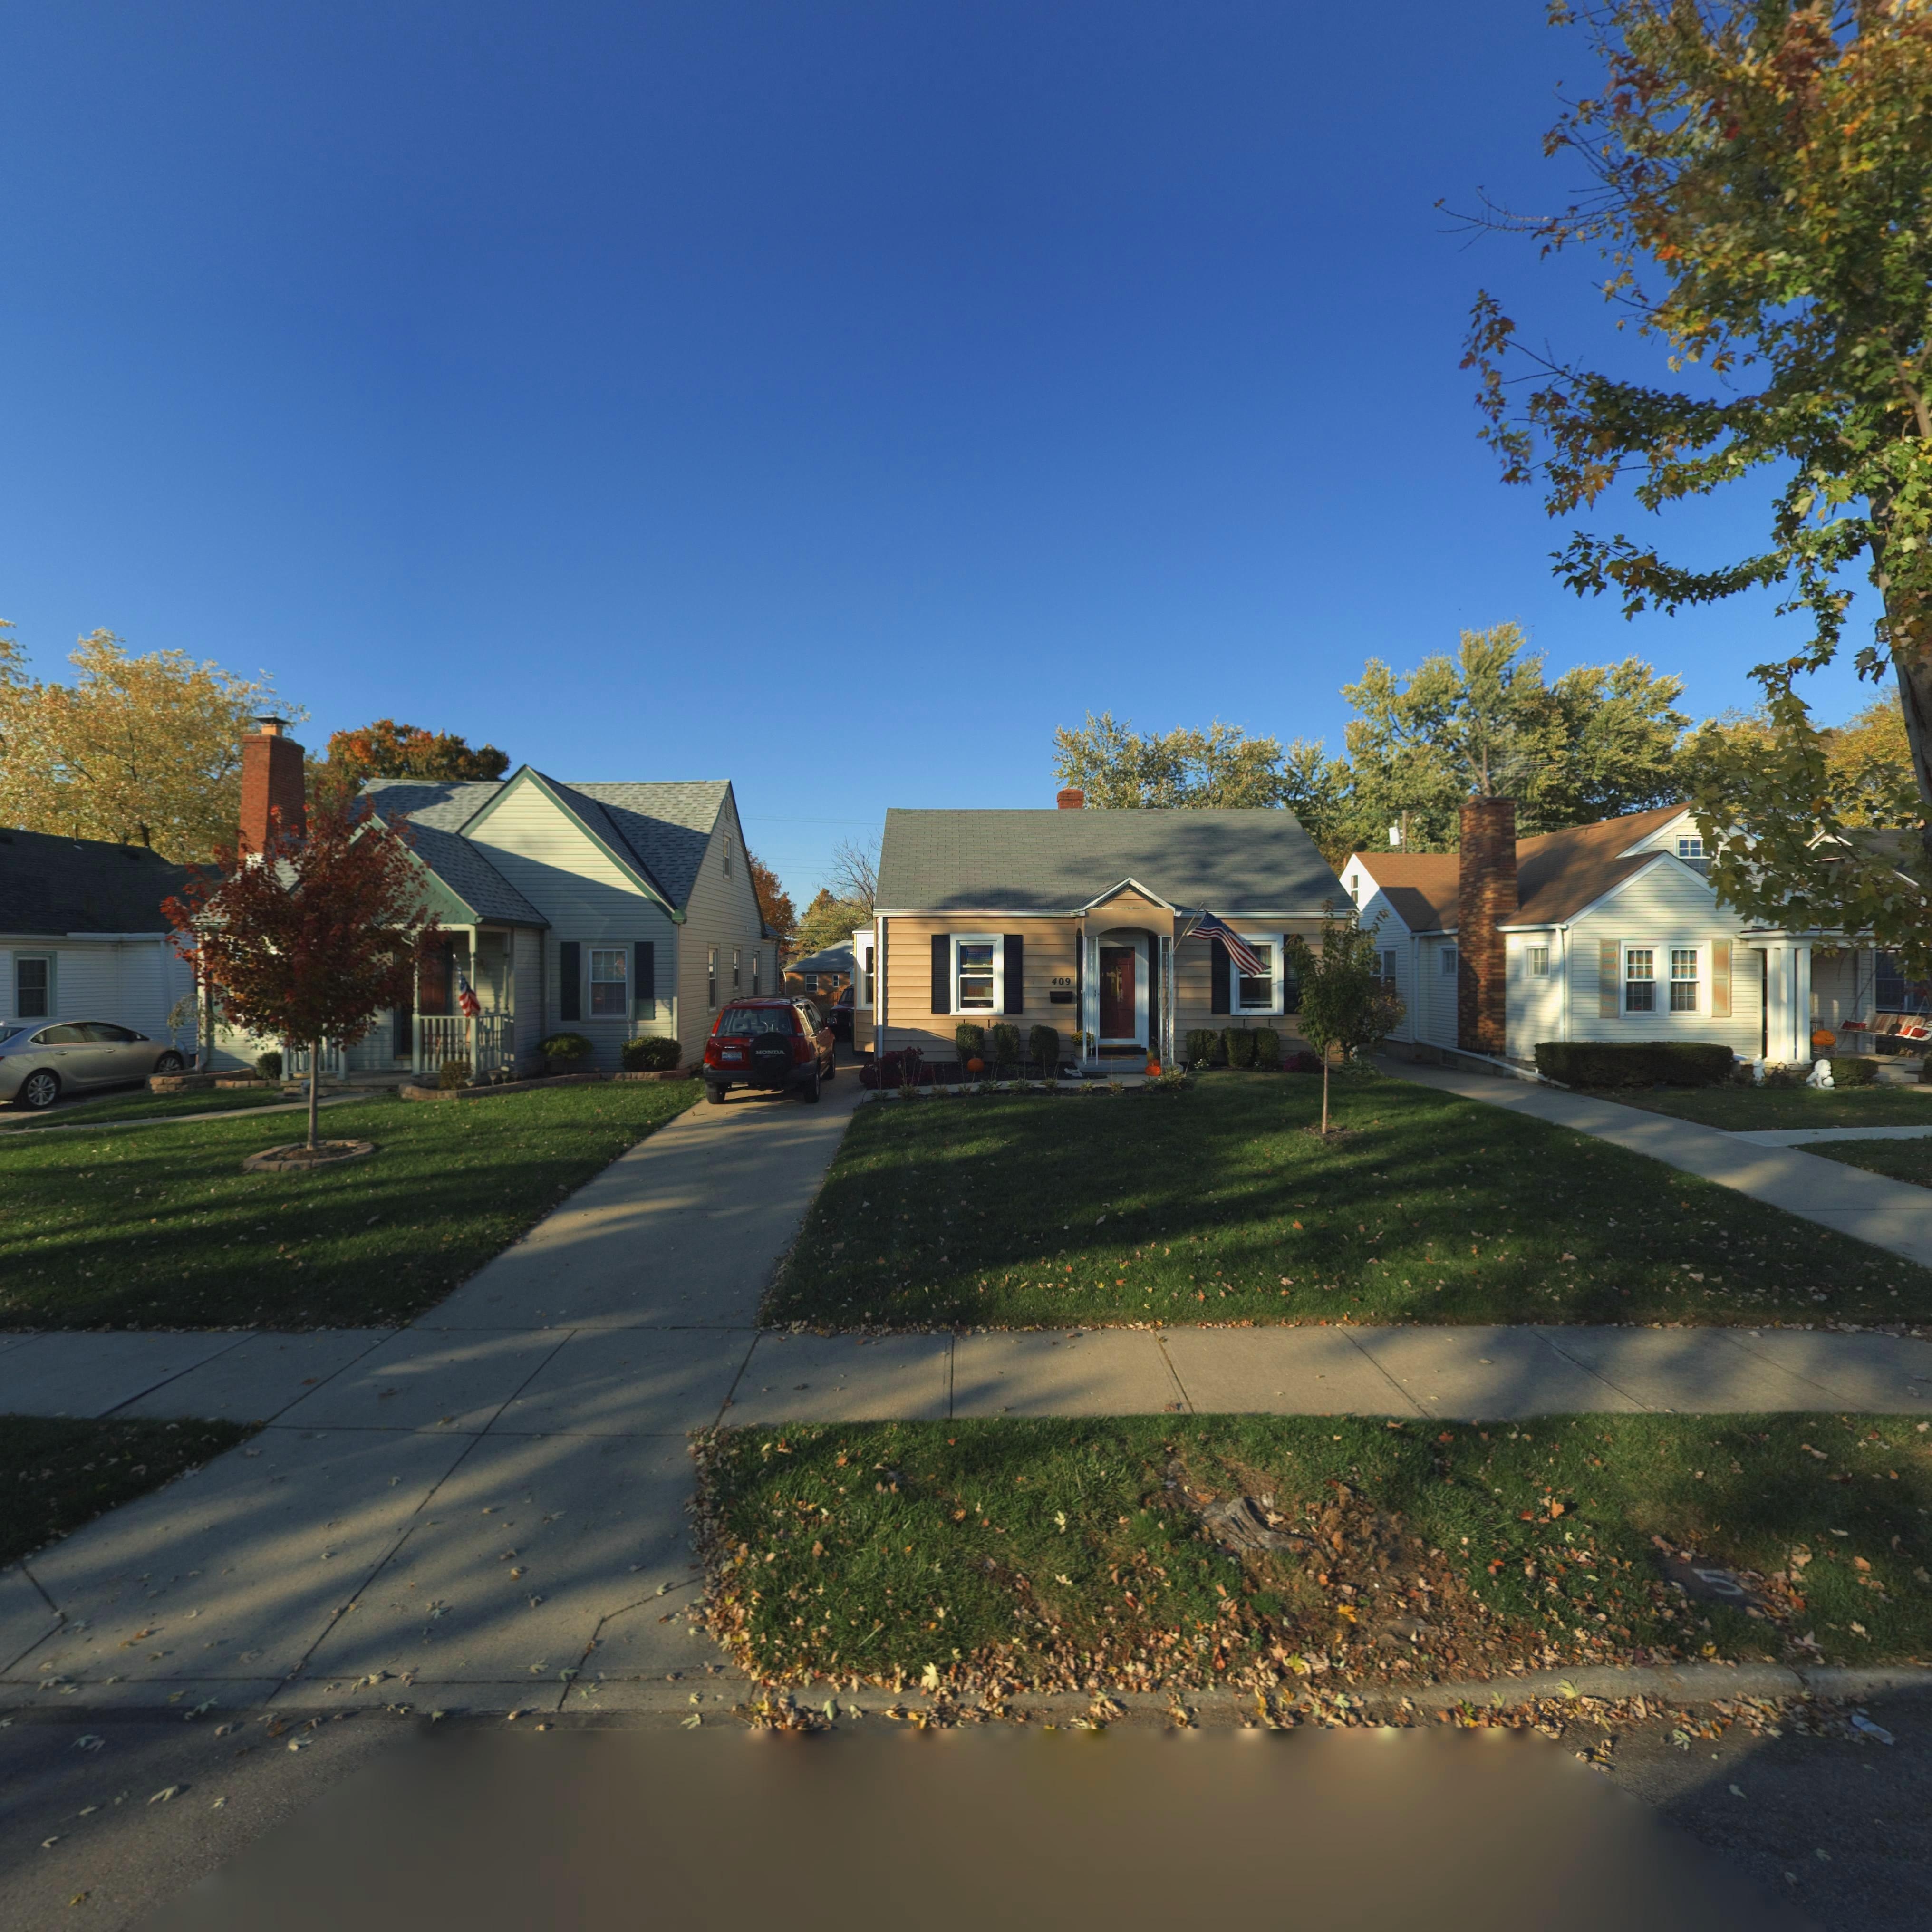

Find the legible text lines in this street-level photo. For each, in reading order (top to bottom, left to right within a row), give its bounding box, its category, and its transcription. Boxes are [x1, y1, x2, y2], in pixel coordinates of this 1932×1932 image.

[1051, 977, 1071, 986] StreetNumber: 409